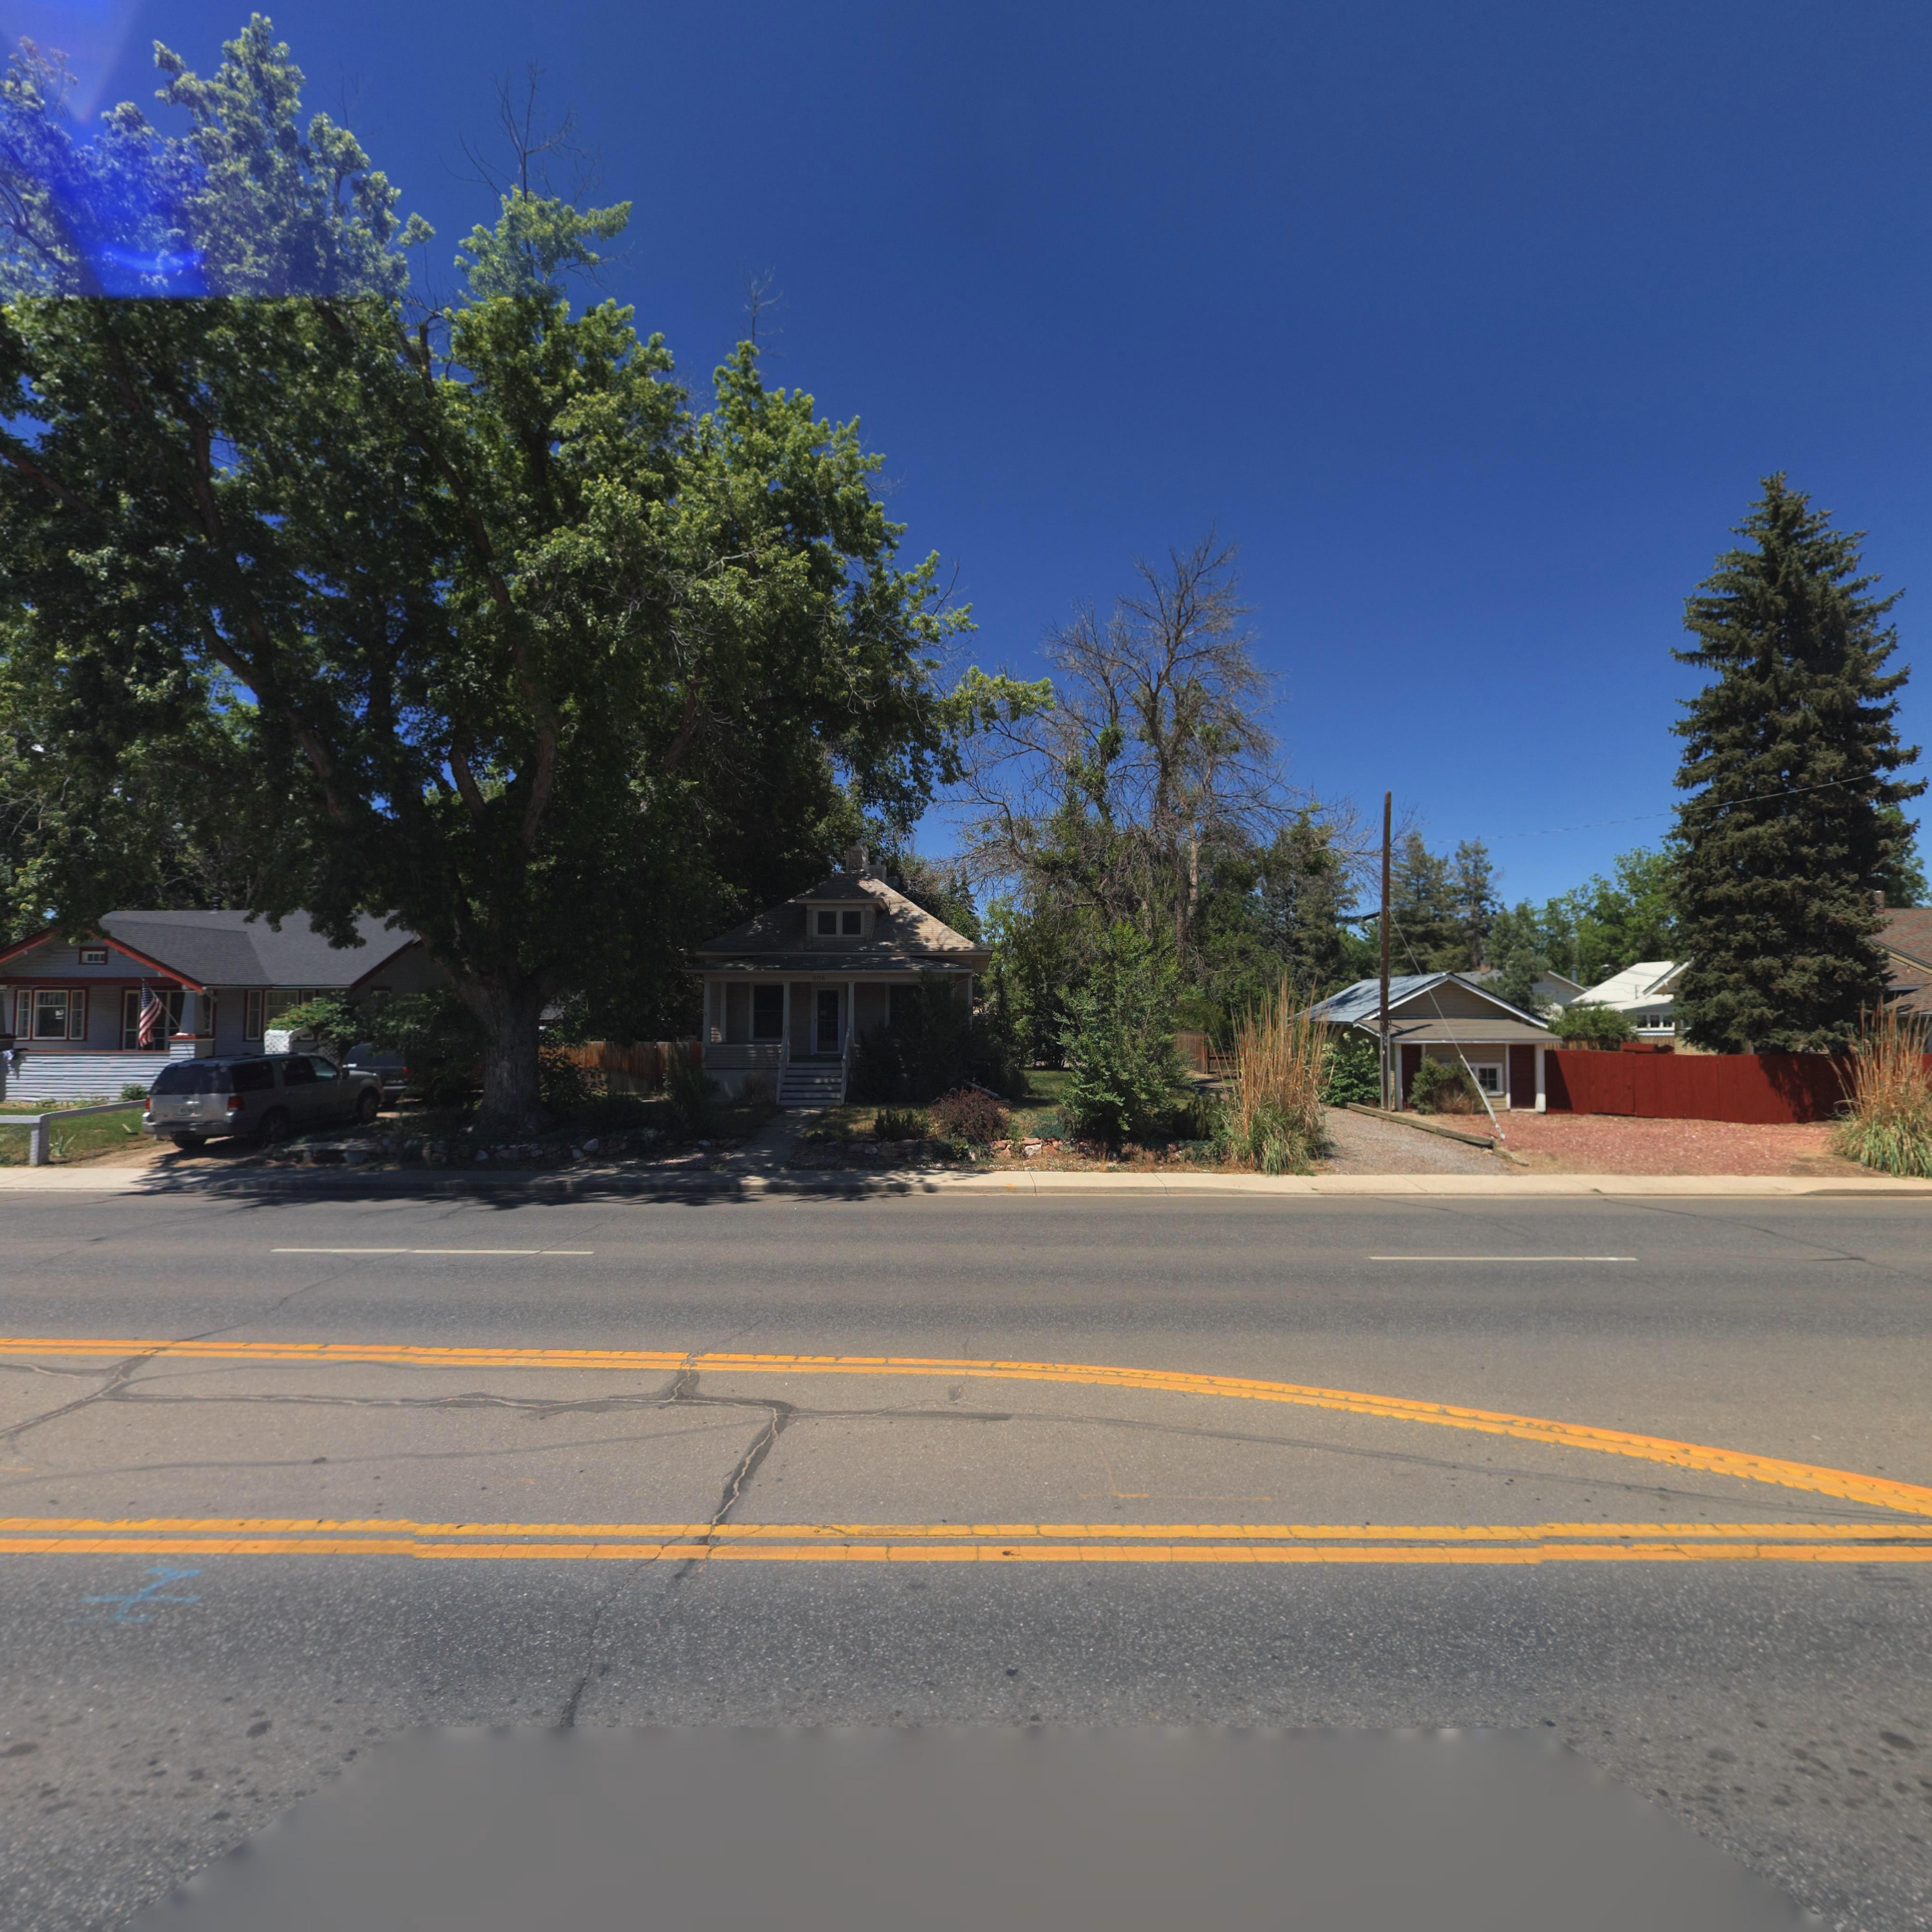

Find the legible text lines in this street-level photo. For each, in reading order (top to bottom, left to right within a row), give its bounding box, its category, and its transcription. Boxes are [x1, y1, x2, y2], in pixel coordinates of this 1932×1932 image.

[813, 976, 825, 980] StreetNumber: 306